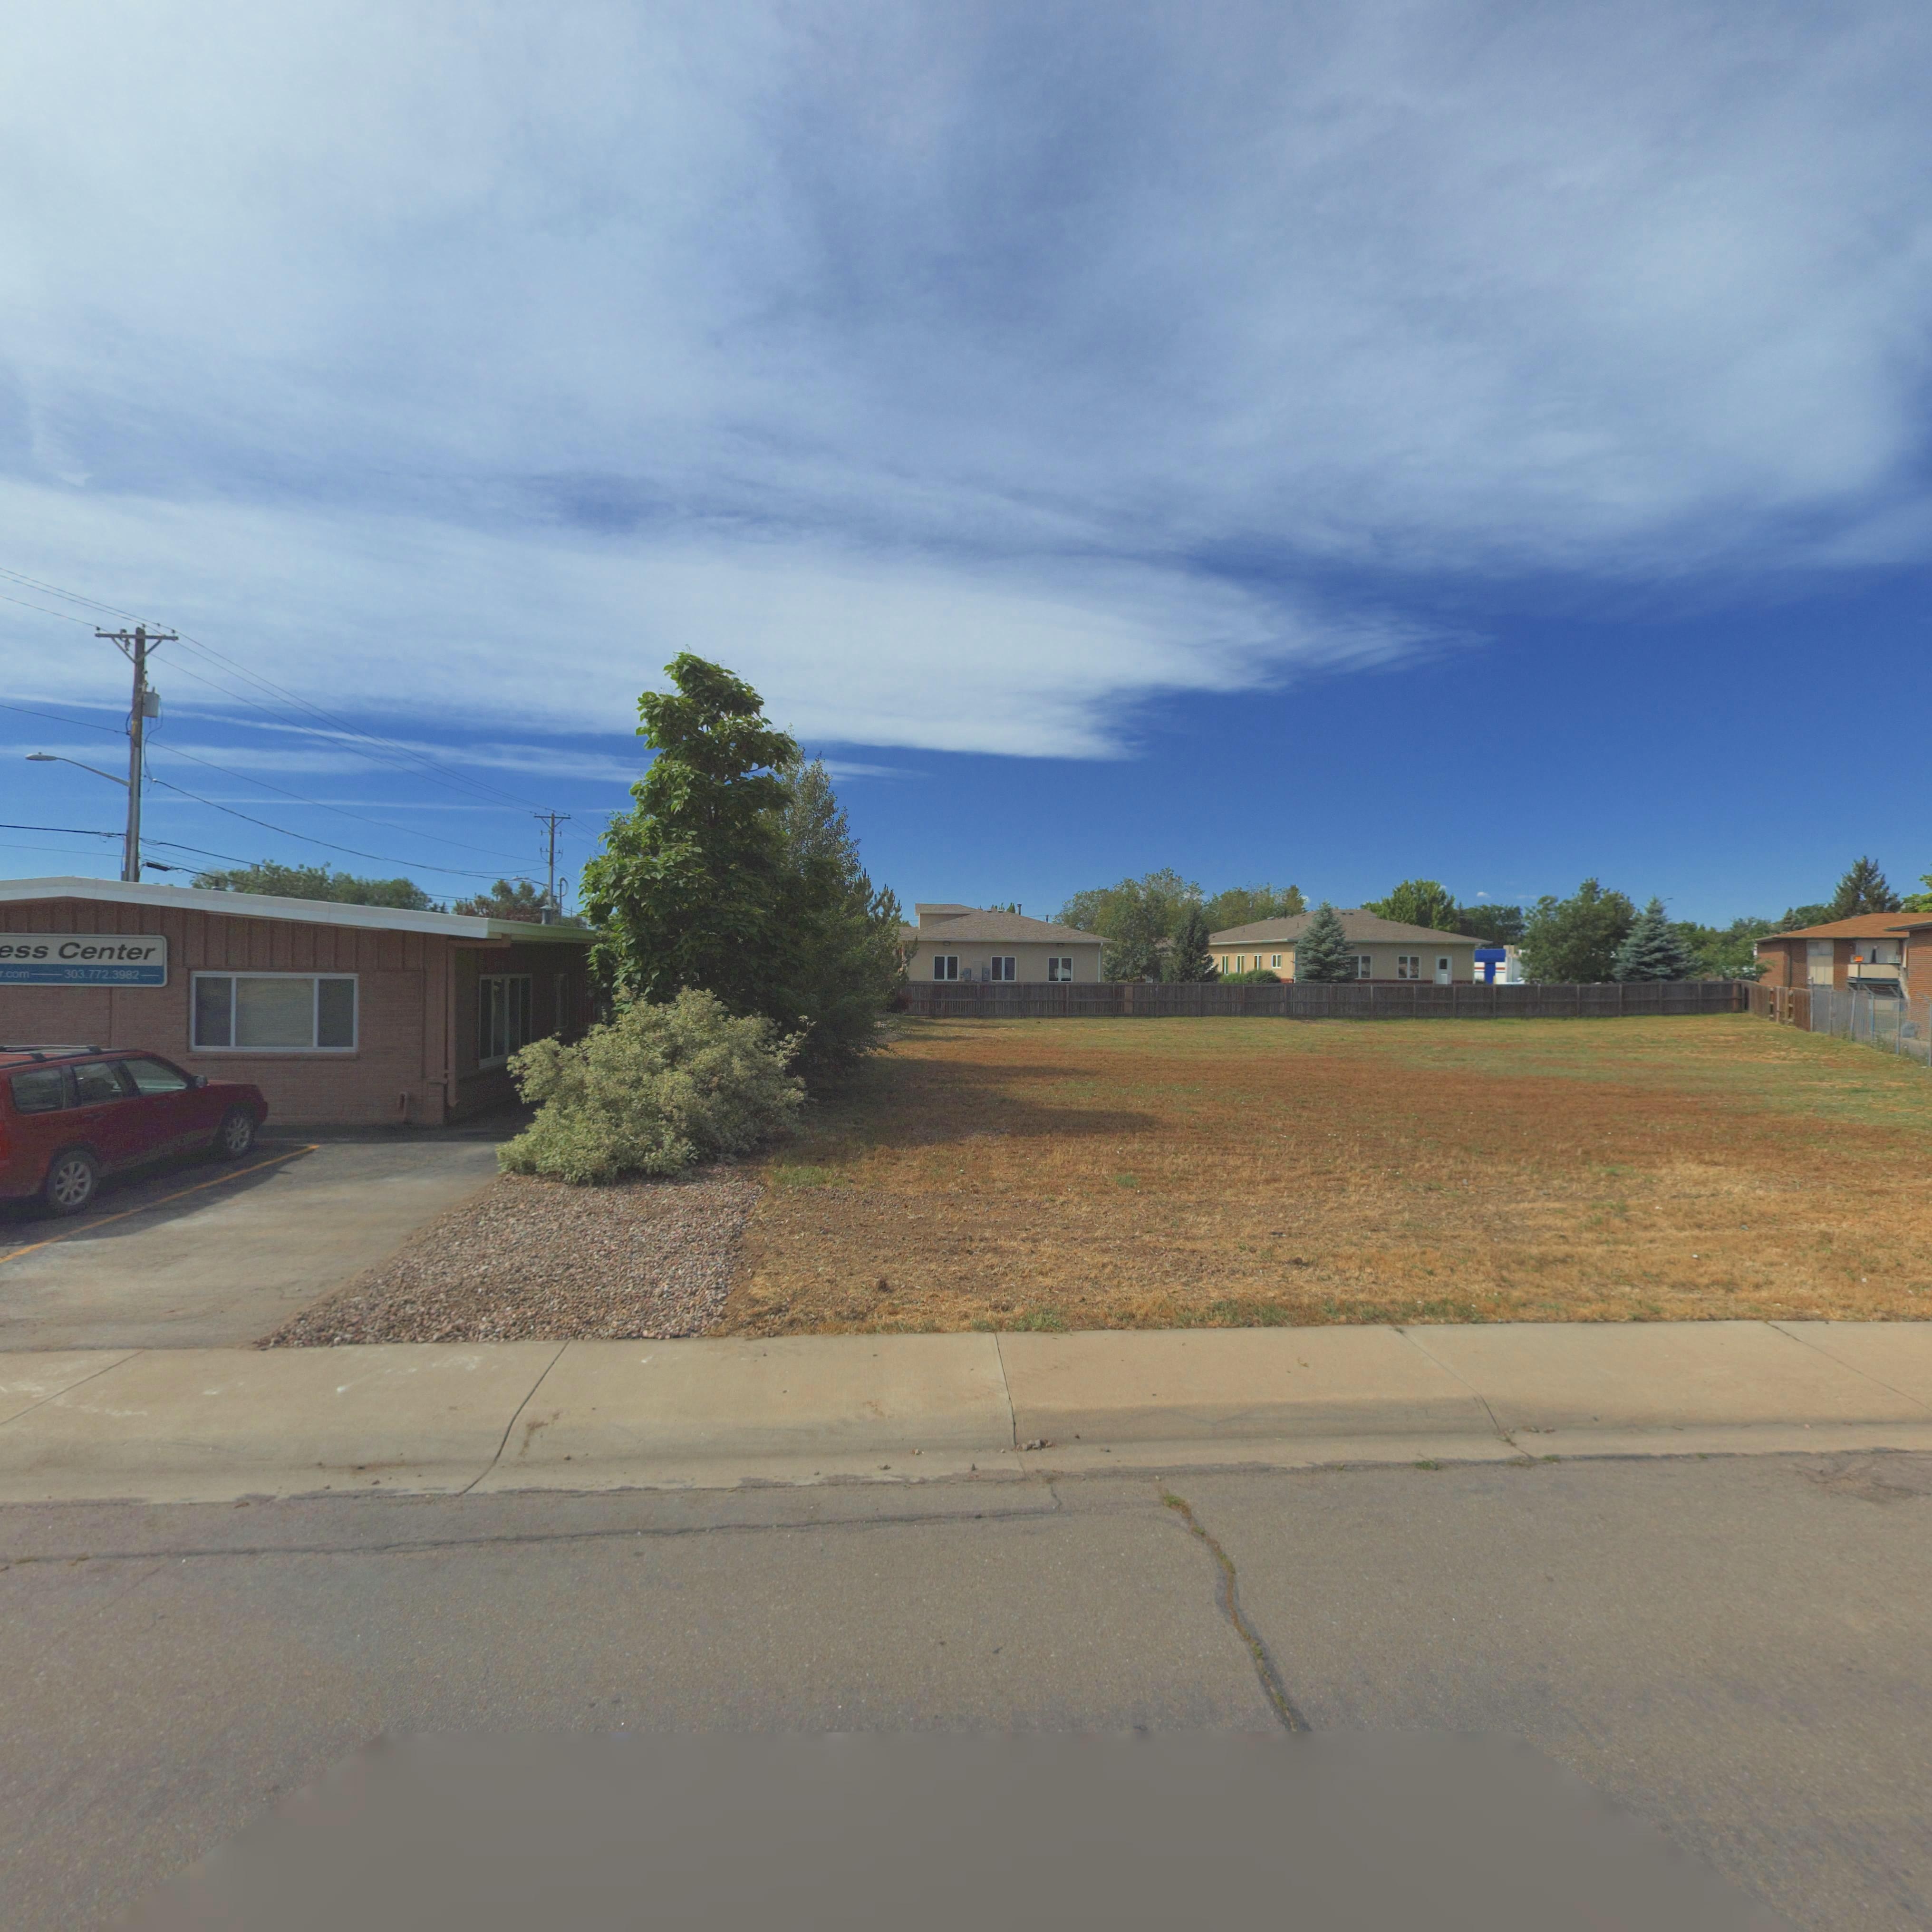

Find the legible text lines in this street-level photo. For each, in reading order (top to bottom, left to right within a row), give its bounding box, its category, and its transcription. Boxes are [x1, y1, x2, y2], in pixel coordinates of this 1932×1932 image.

[13, 941, 156, 961] BusinessName: ss Center